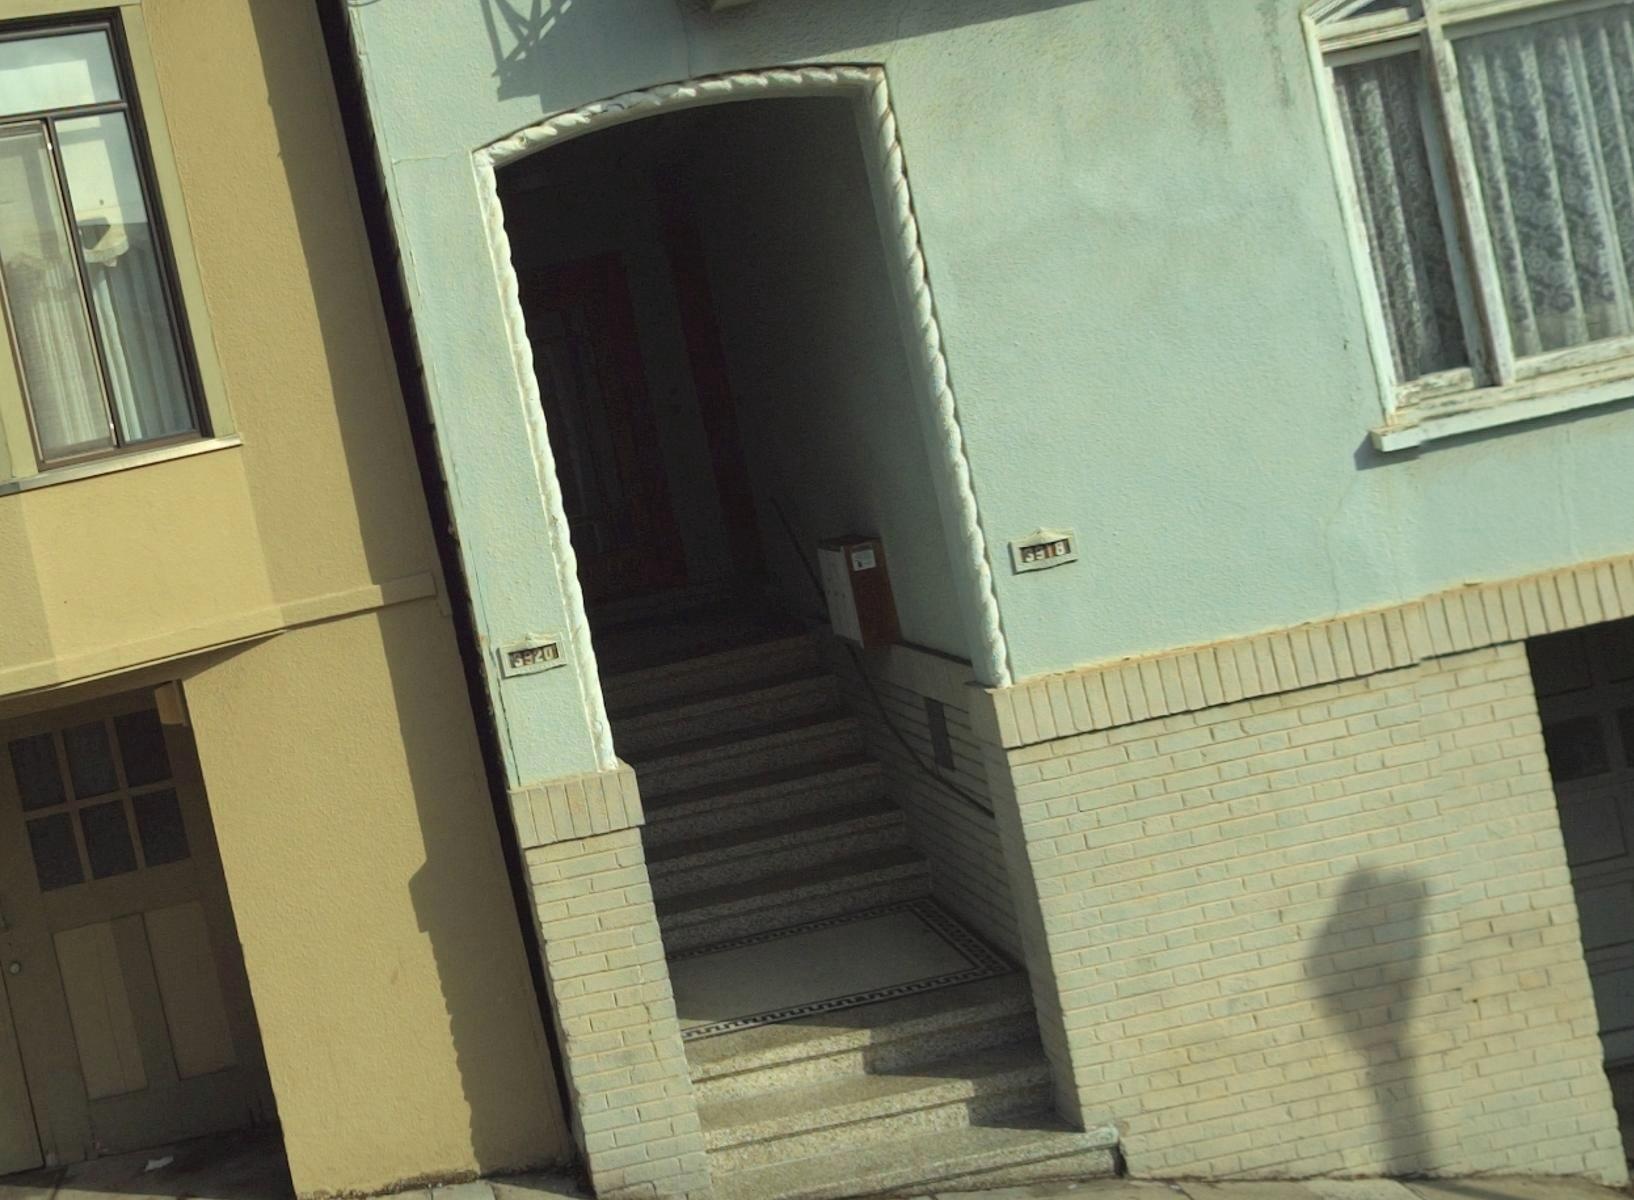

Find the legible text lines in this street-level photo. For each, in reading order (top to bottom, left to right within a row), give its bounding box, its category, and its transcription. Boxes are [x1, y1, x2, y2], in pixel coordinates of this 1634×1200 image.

[1021, 539, 1069, 562] StreetNumber: 3918
[509, 643, 557, 668] StreetNumber: 3920